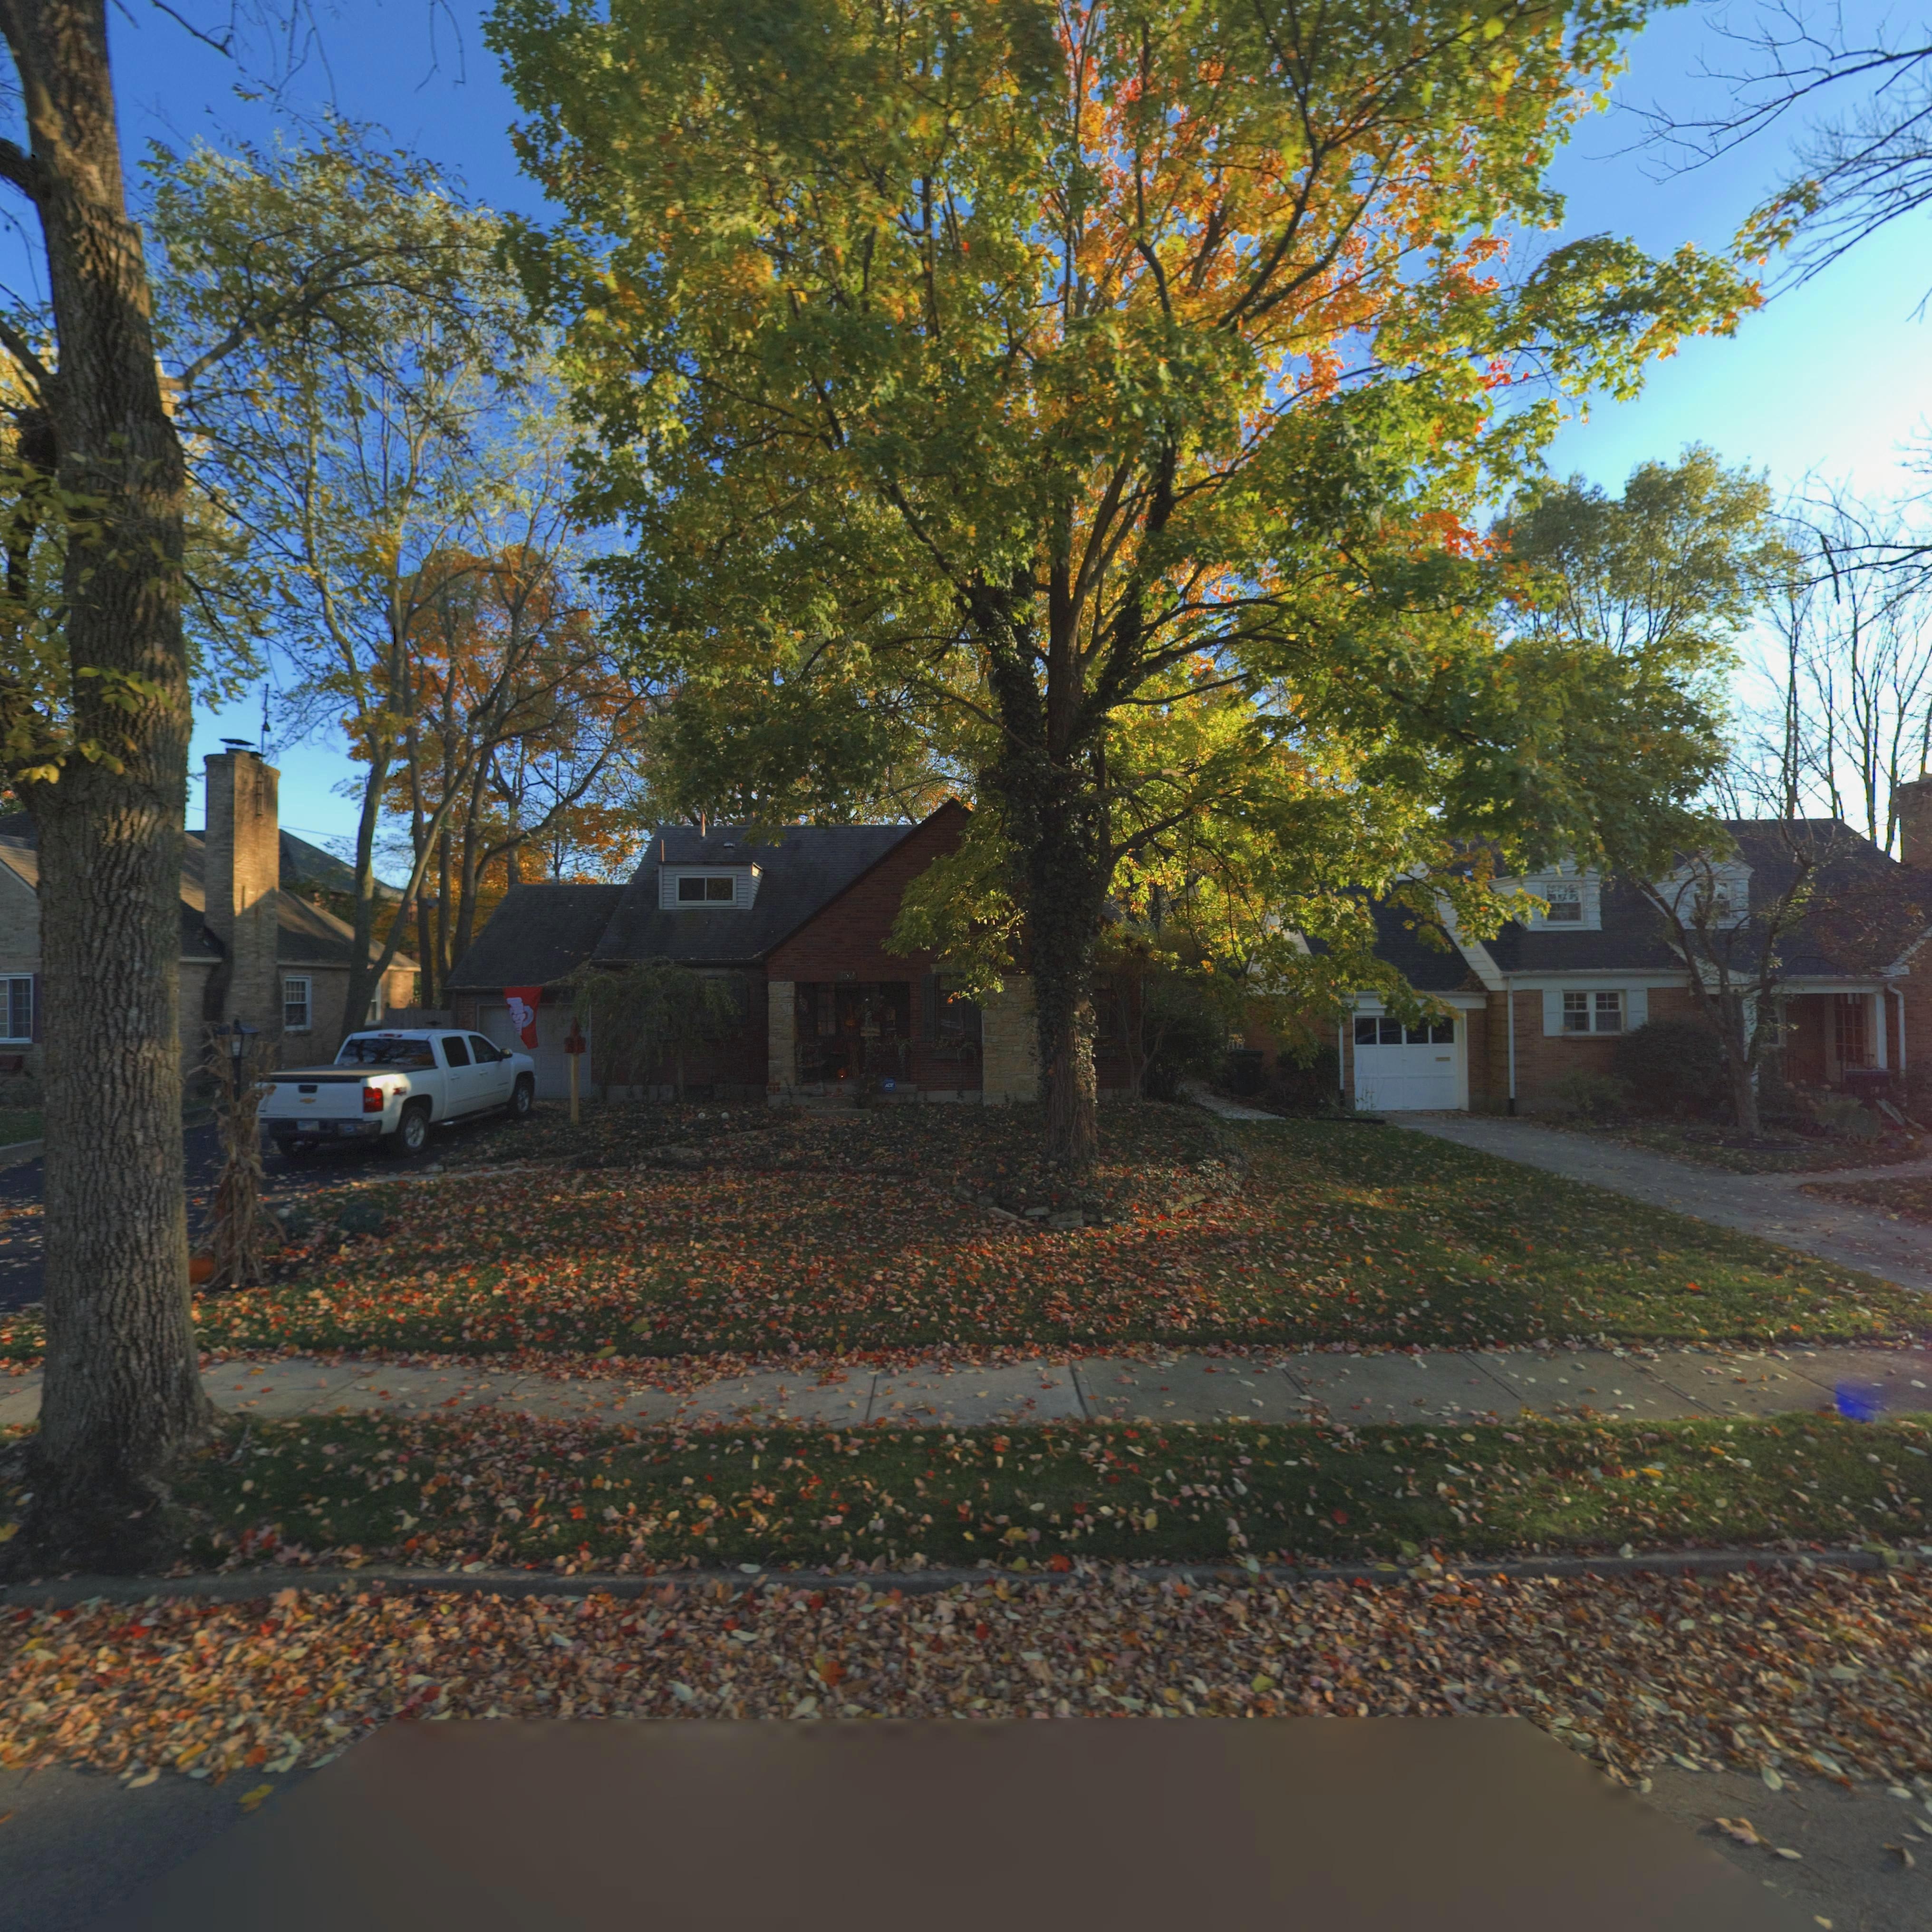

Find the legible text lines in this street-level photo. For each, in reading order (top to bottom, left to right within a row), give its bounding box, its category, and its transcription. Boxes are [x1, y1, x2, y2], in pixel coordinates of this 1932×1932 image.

[840, 971, 855, 980] StreetNumber: 132